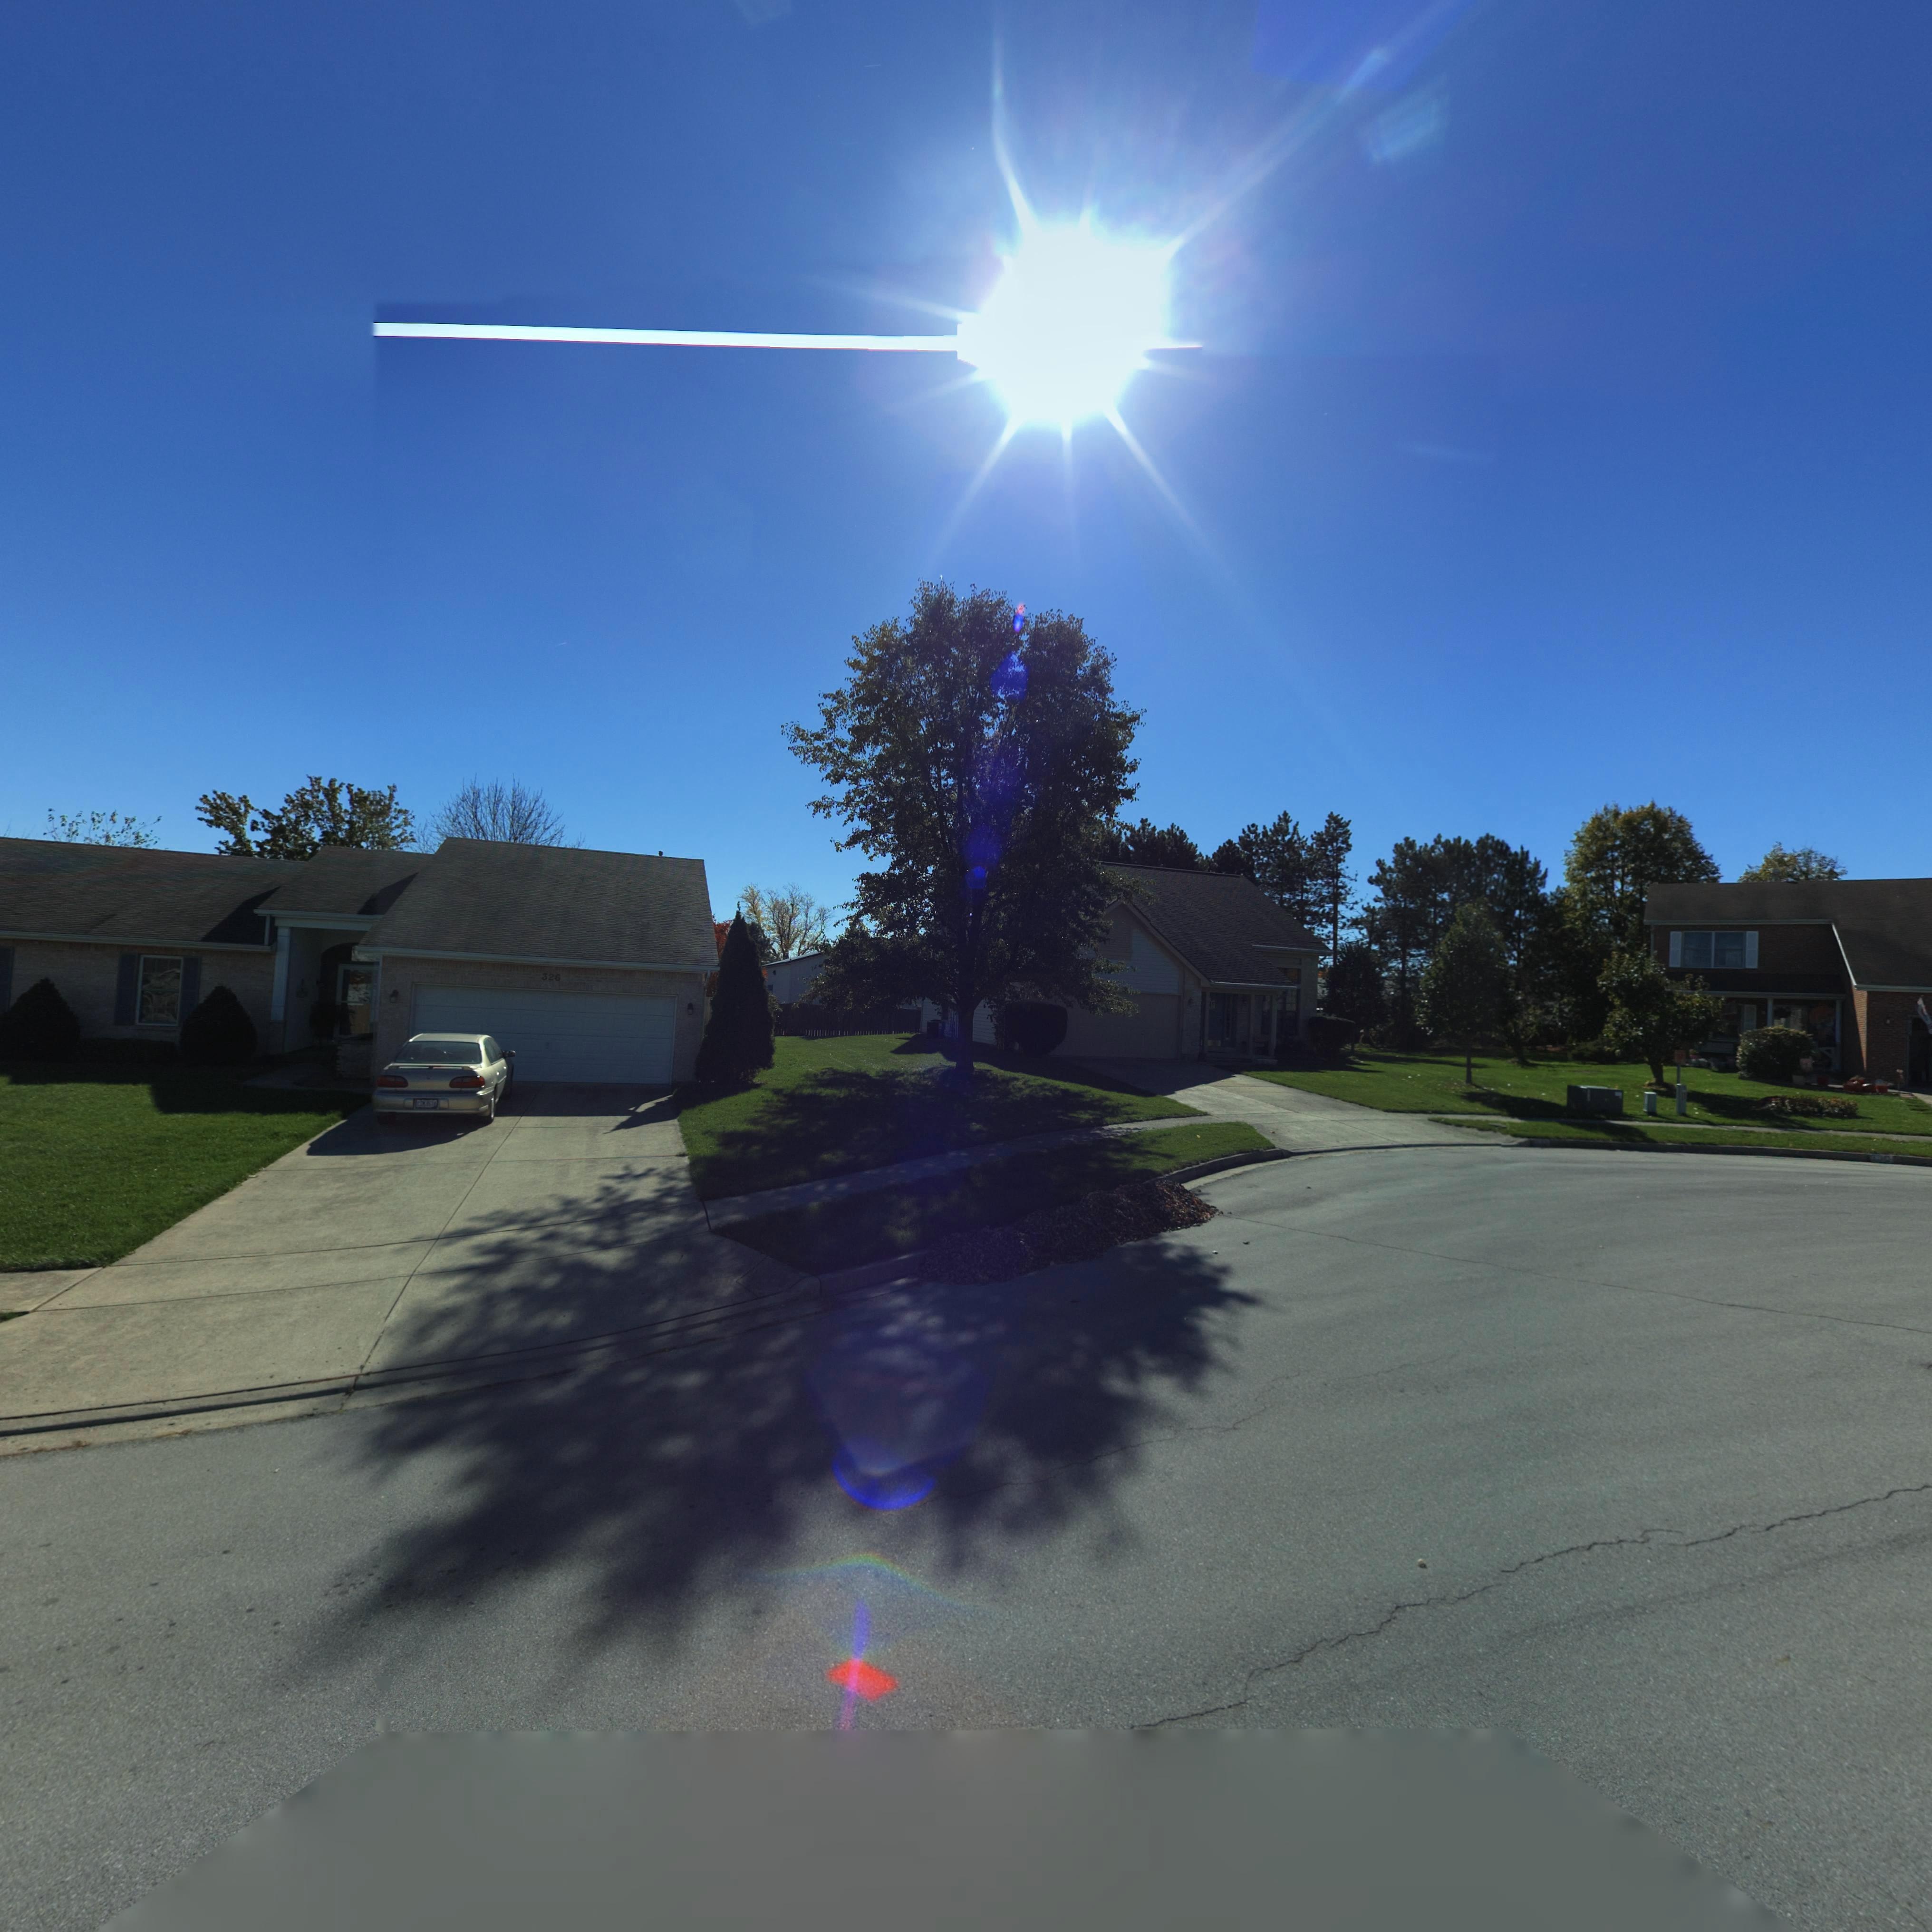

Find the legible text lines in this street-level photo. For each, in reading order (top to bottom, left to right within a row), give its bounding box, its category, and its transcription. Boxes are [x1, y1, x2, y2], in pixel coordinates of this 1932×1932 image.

[540, 972, 562, 983] StreetNumber: 326